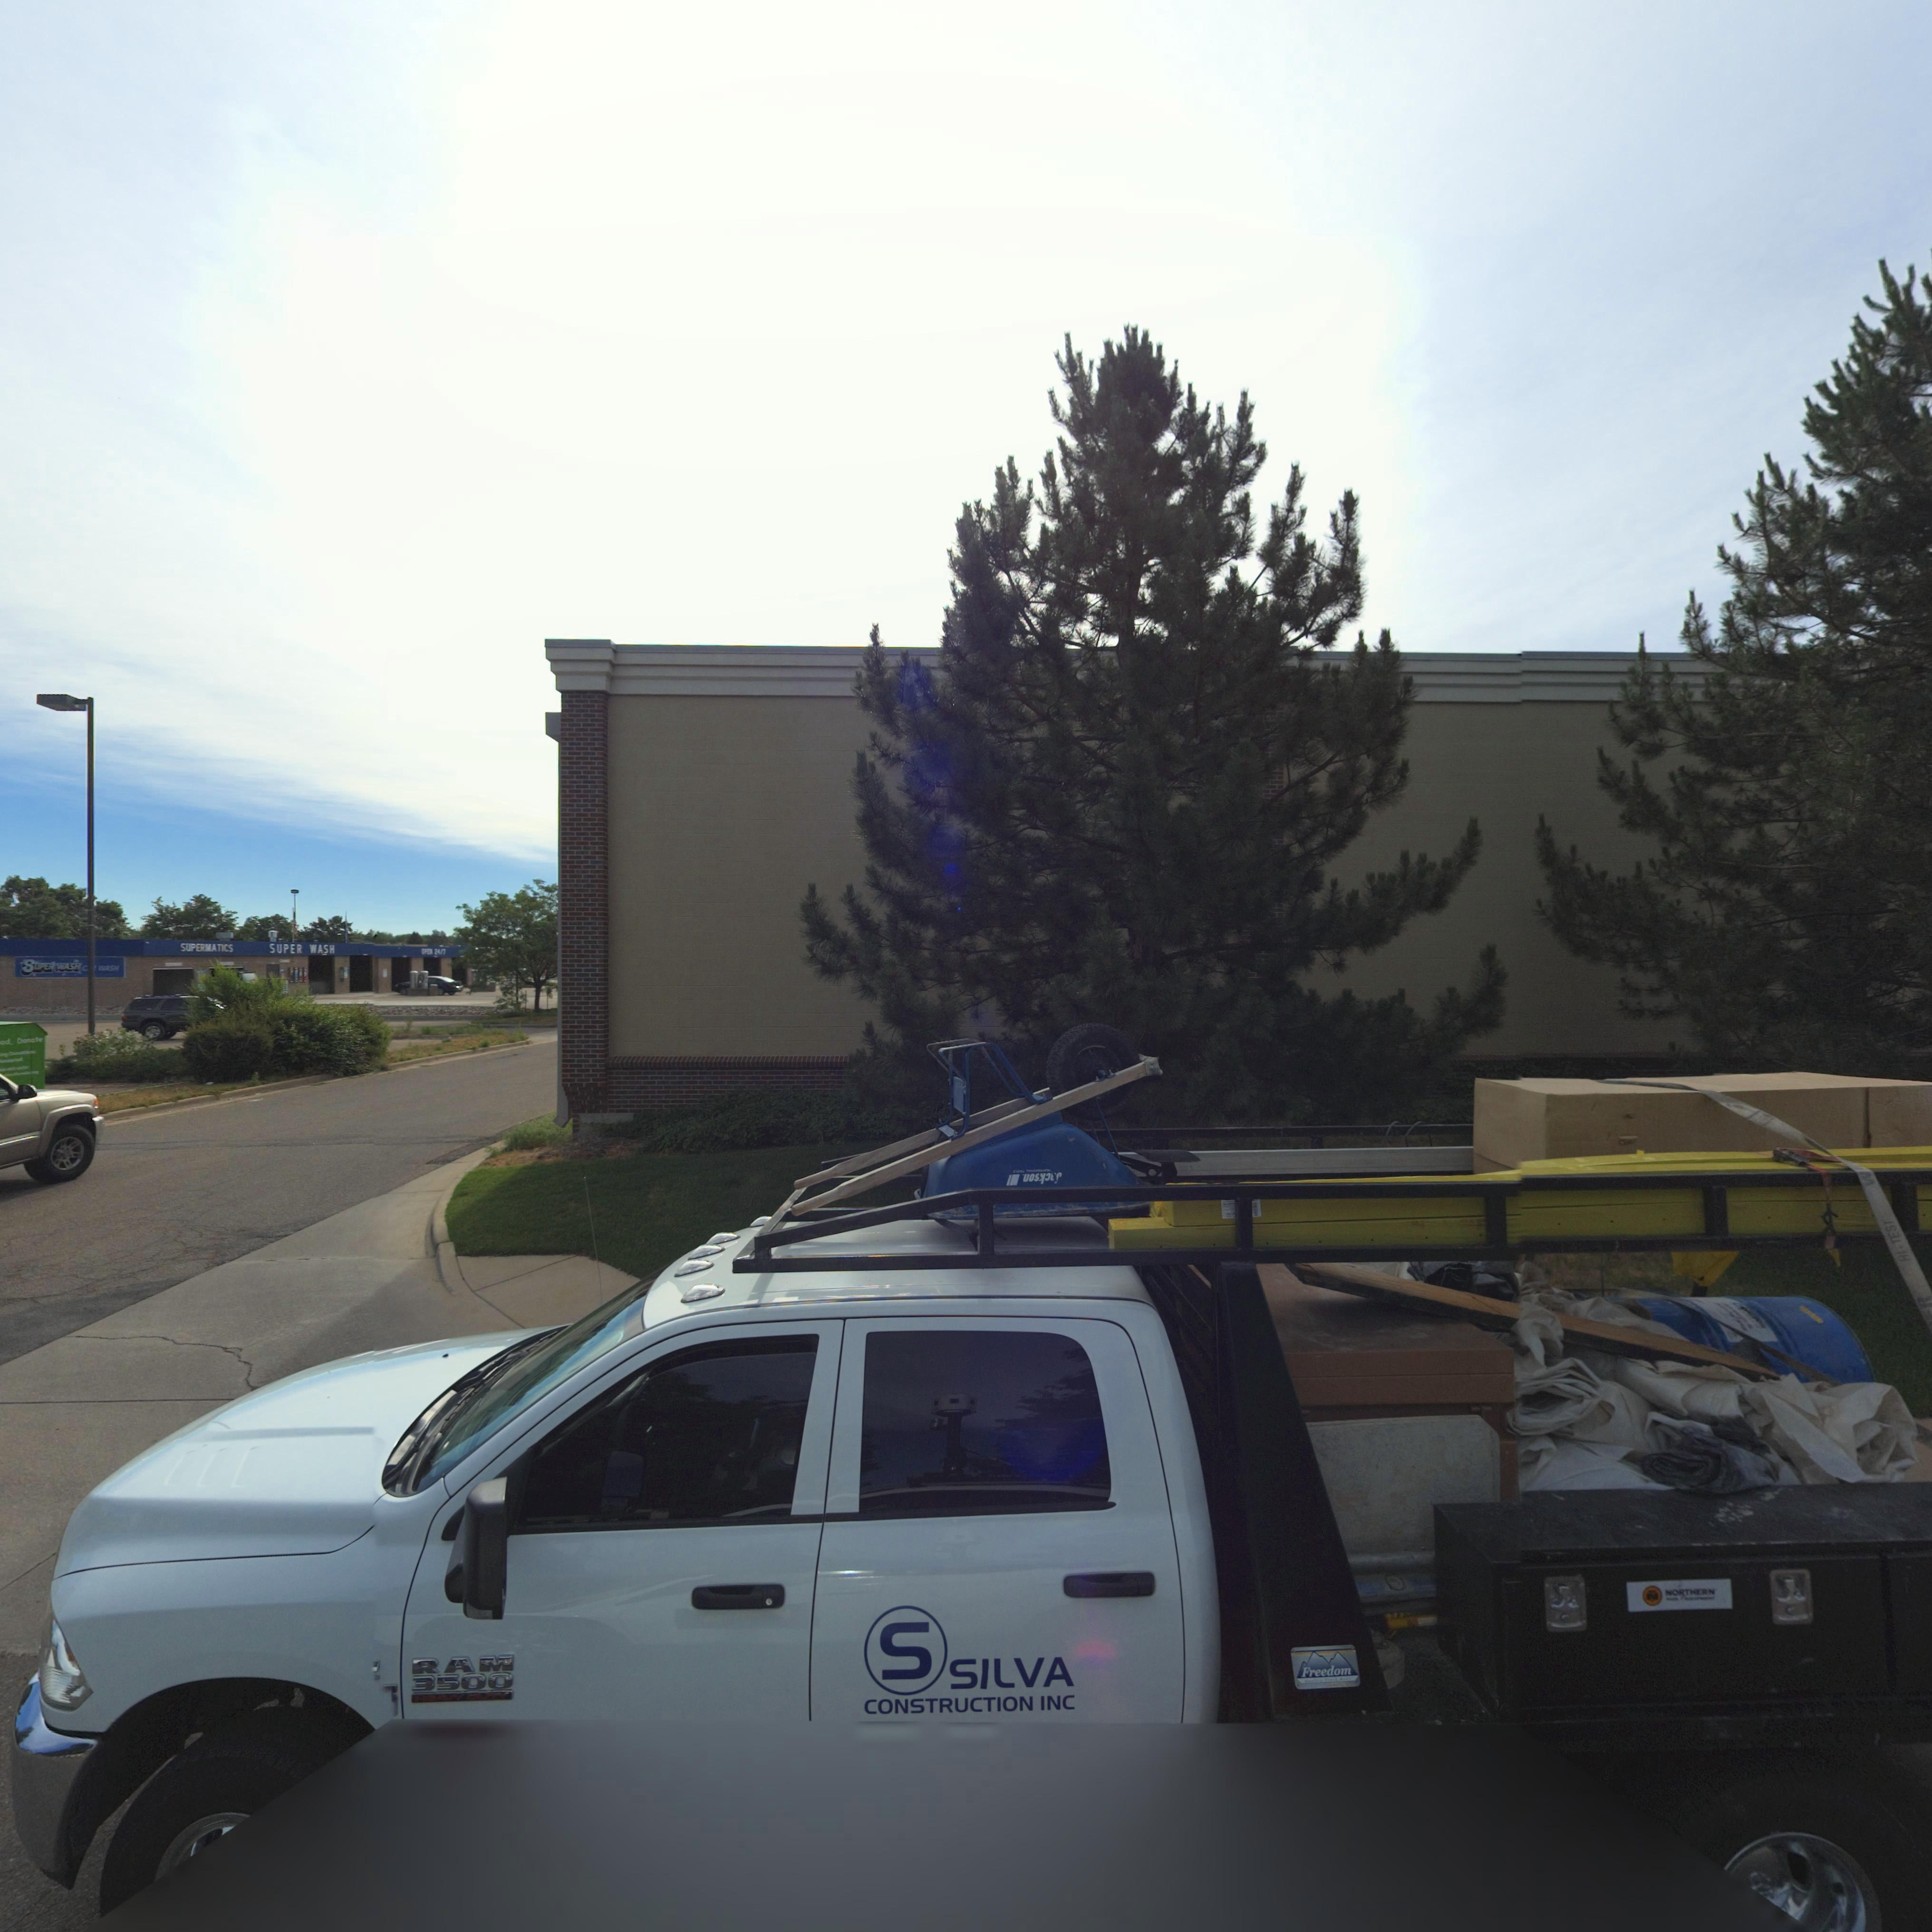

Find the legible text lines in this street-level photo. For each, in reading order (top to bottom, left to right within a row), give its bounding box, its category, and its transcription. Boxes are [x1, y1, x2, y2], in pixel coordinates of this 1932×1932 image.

[268, 943, 335, 955] BusinessName: SUPER WASH
[21, 958, 120, 973] BusinessName: SUPER *AS* C** **SH